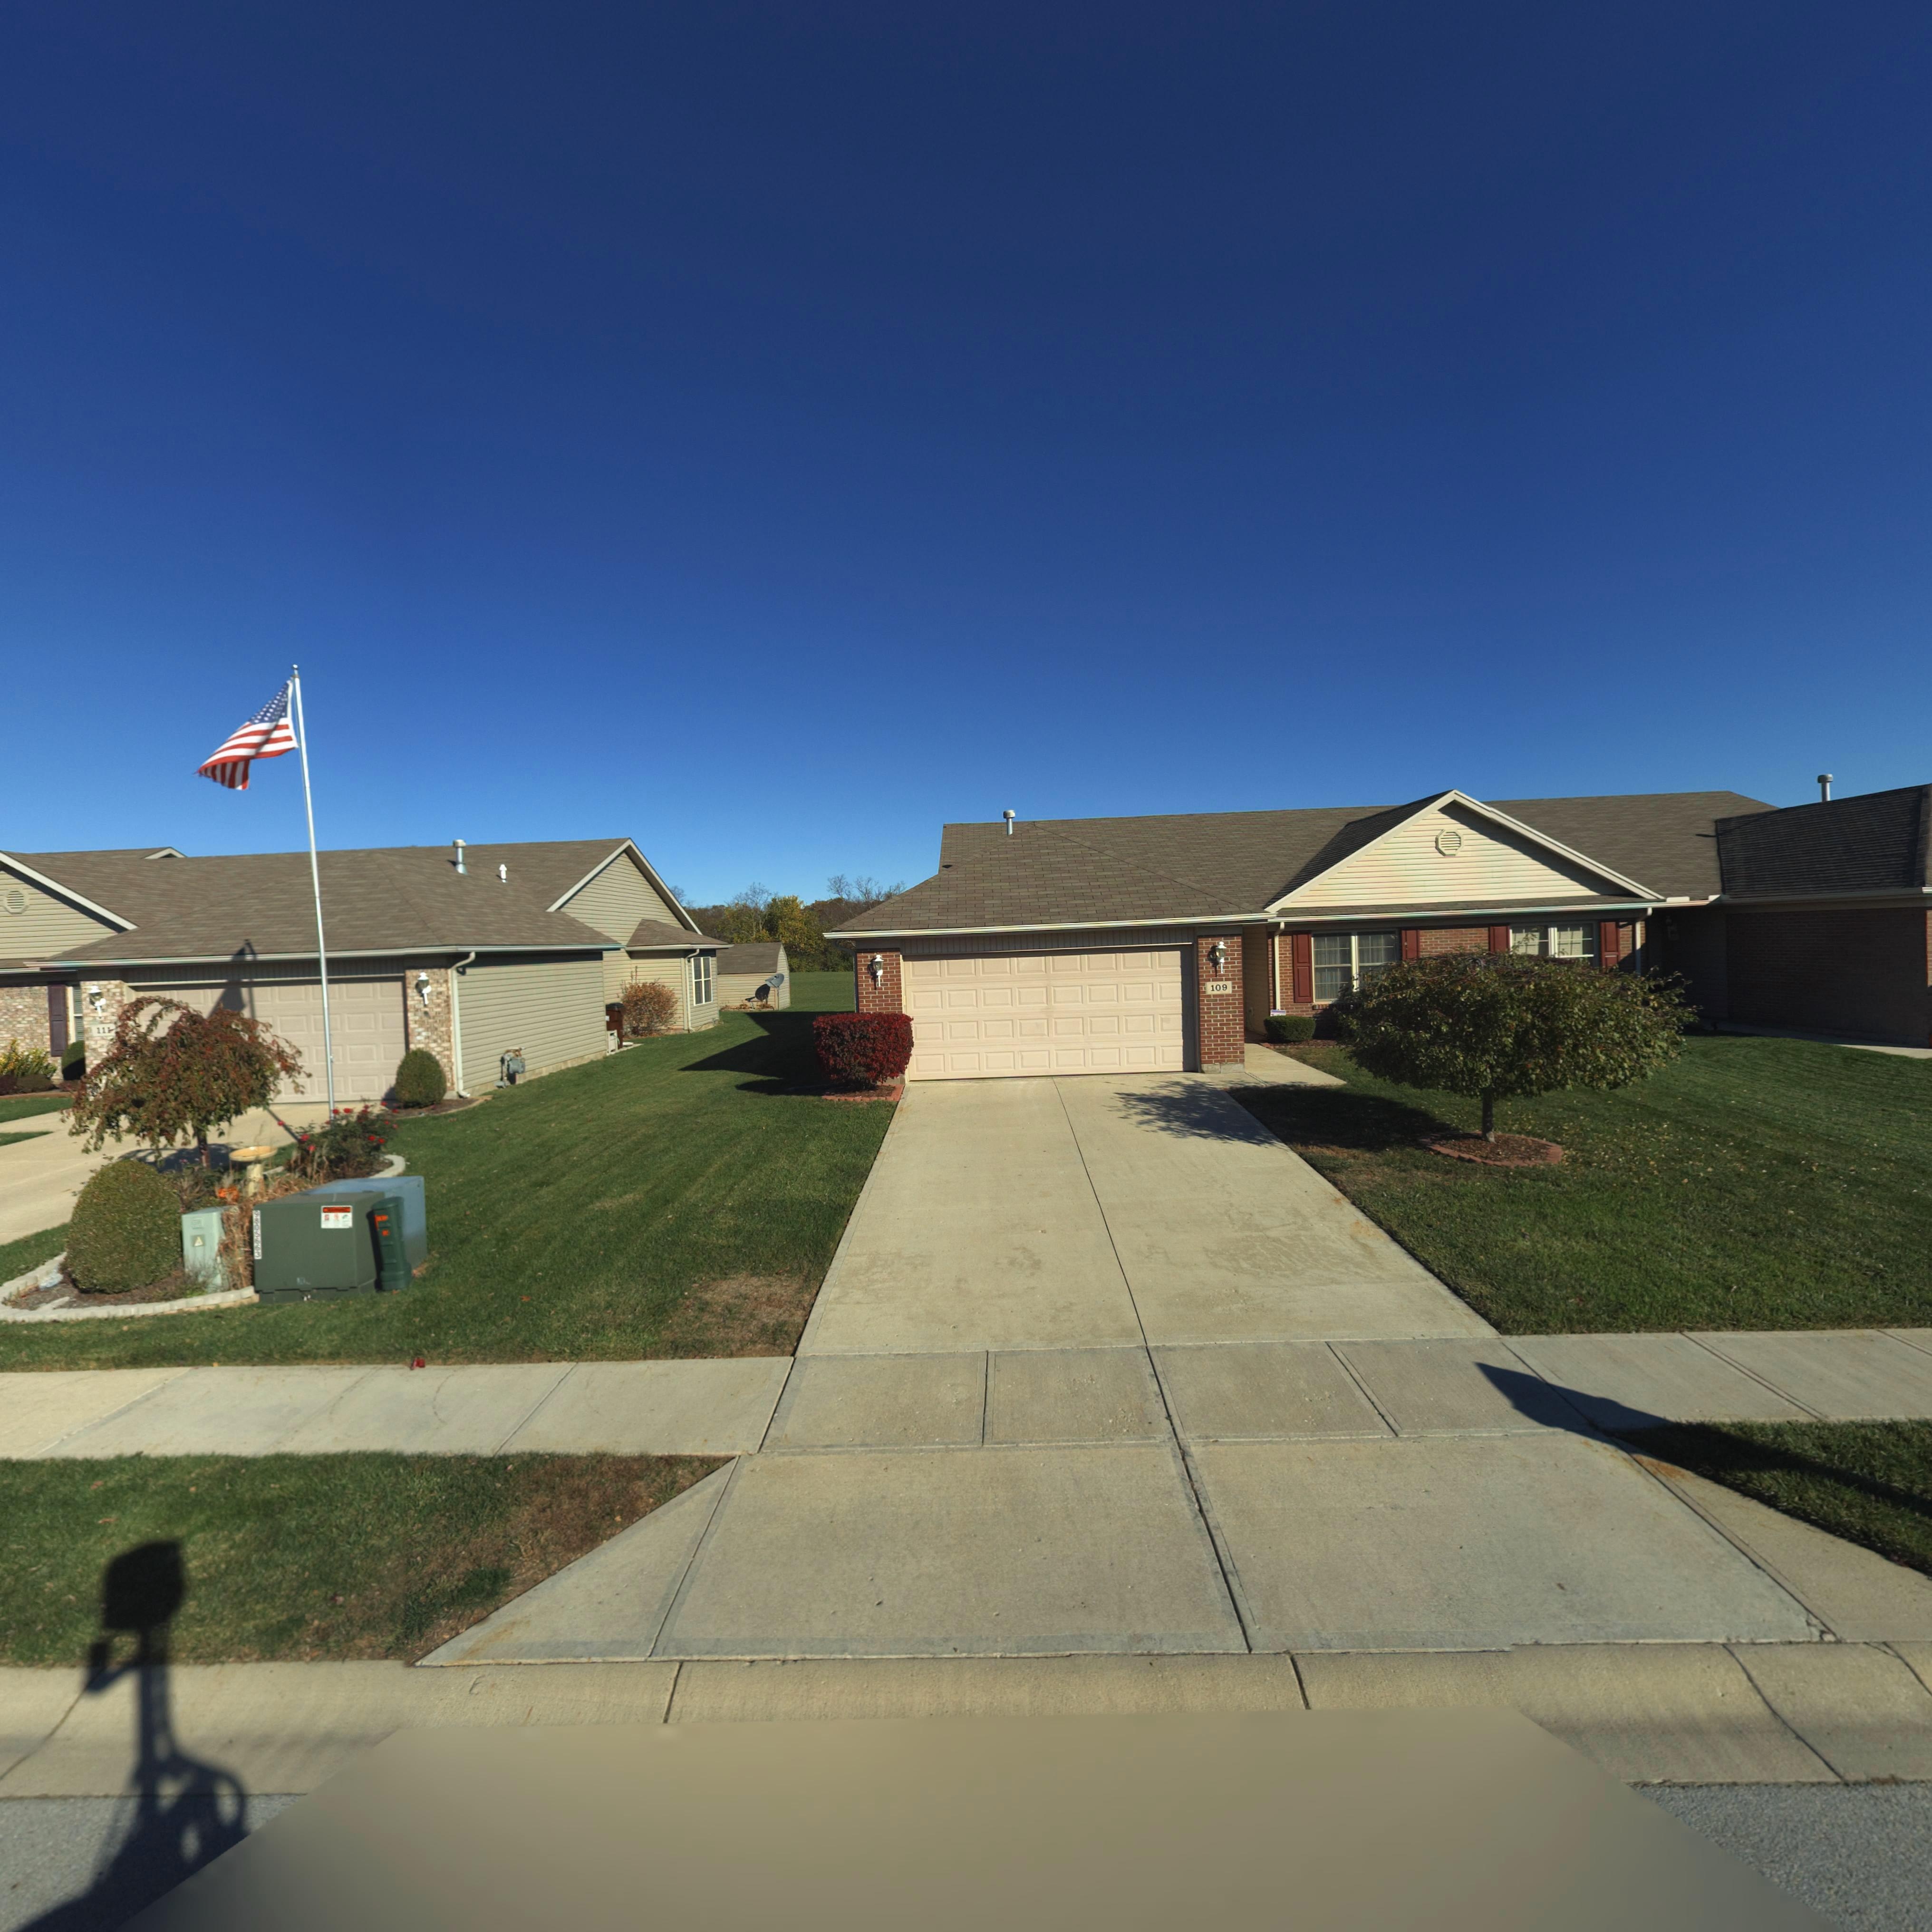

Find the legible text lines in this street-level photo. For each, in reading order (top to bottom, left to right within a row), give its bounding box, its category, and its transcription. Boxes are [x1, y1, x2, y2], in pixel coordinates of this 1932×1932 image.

[1210, 983, 1228, 992] StreetNumber: 109
[96, 1026, 112, 1034] StreetNumber: 111